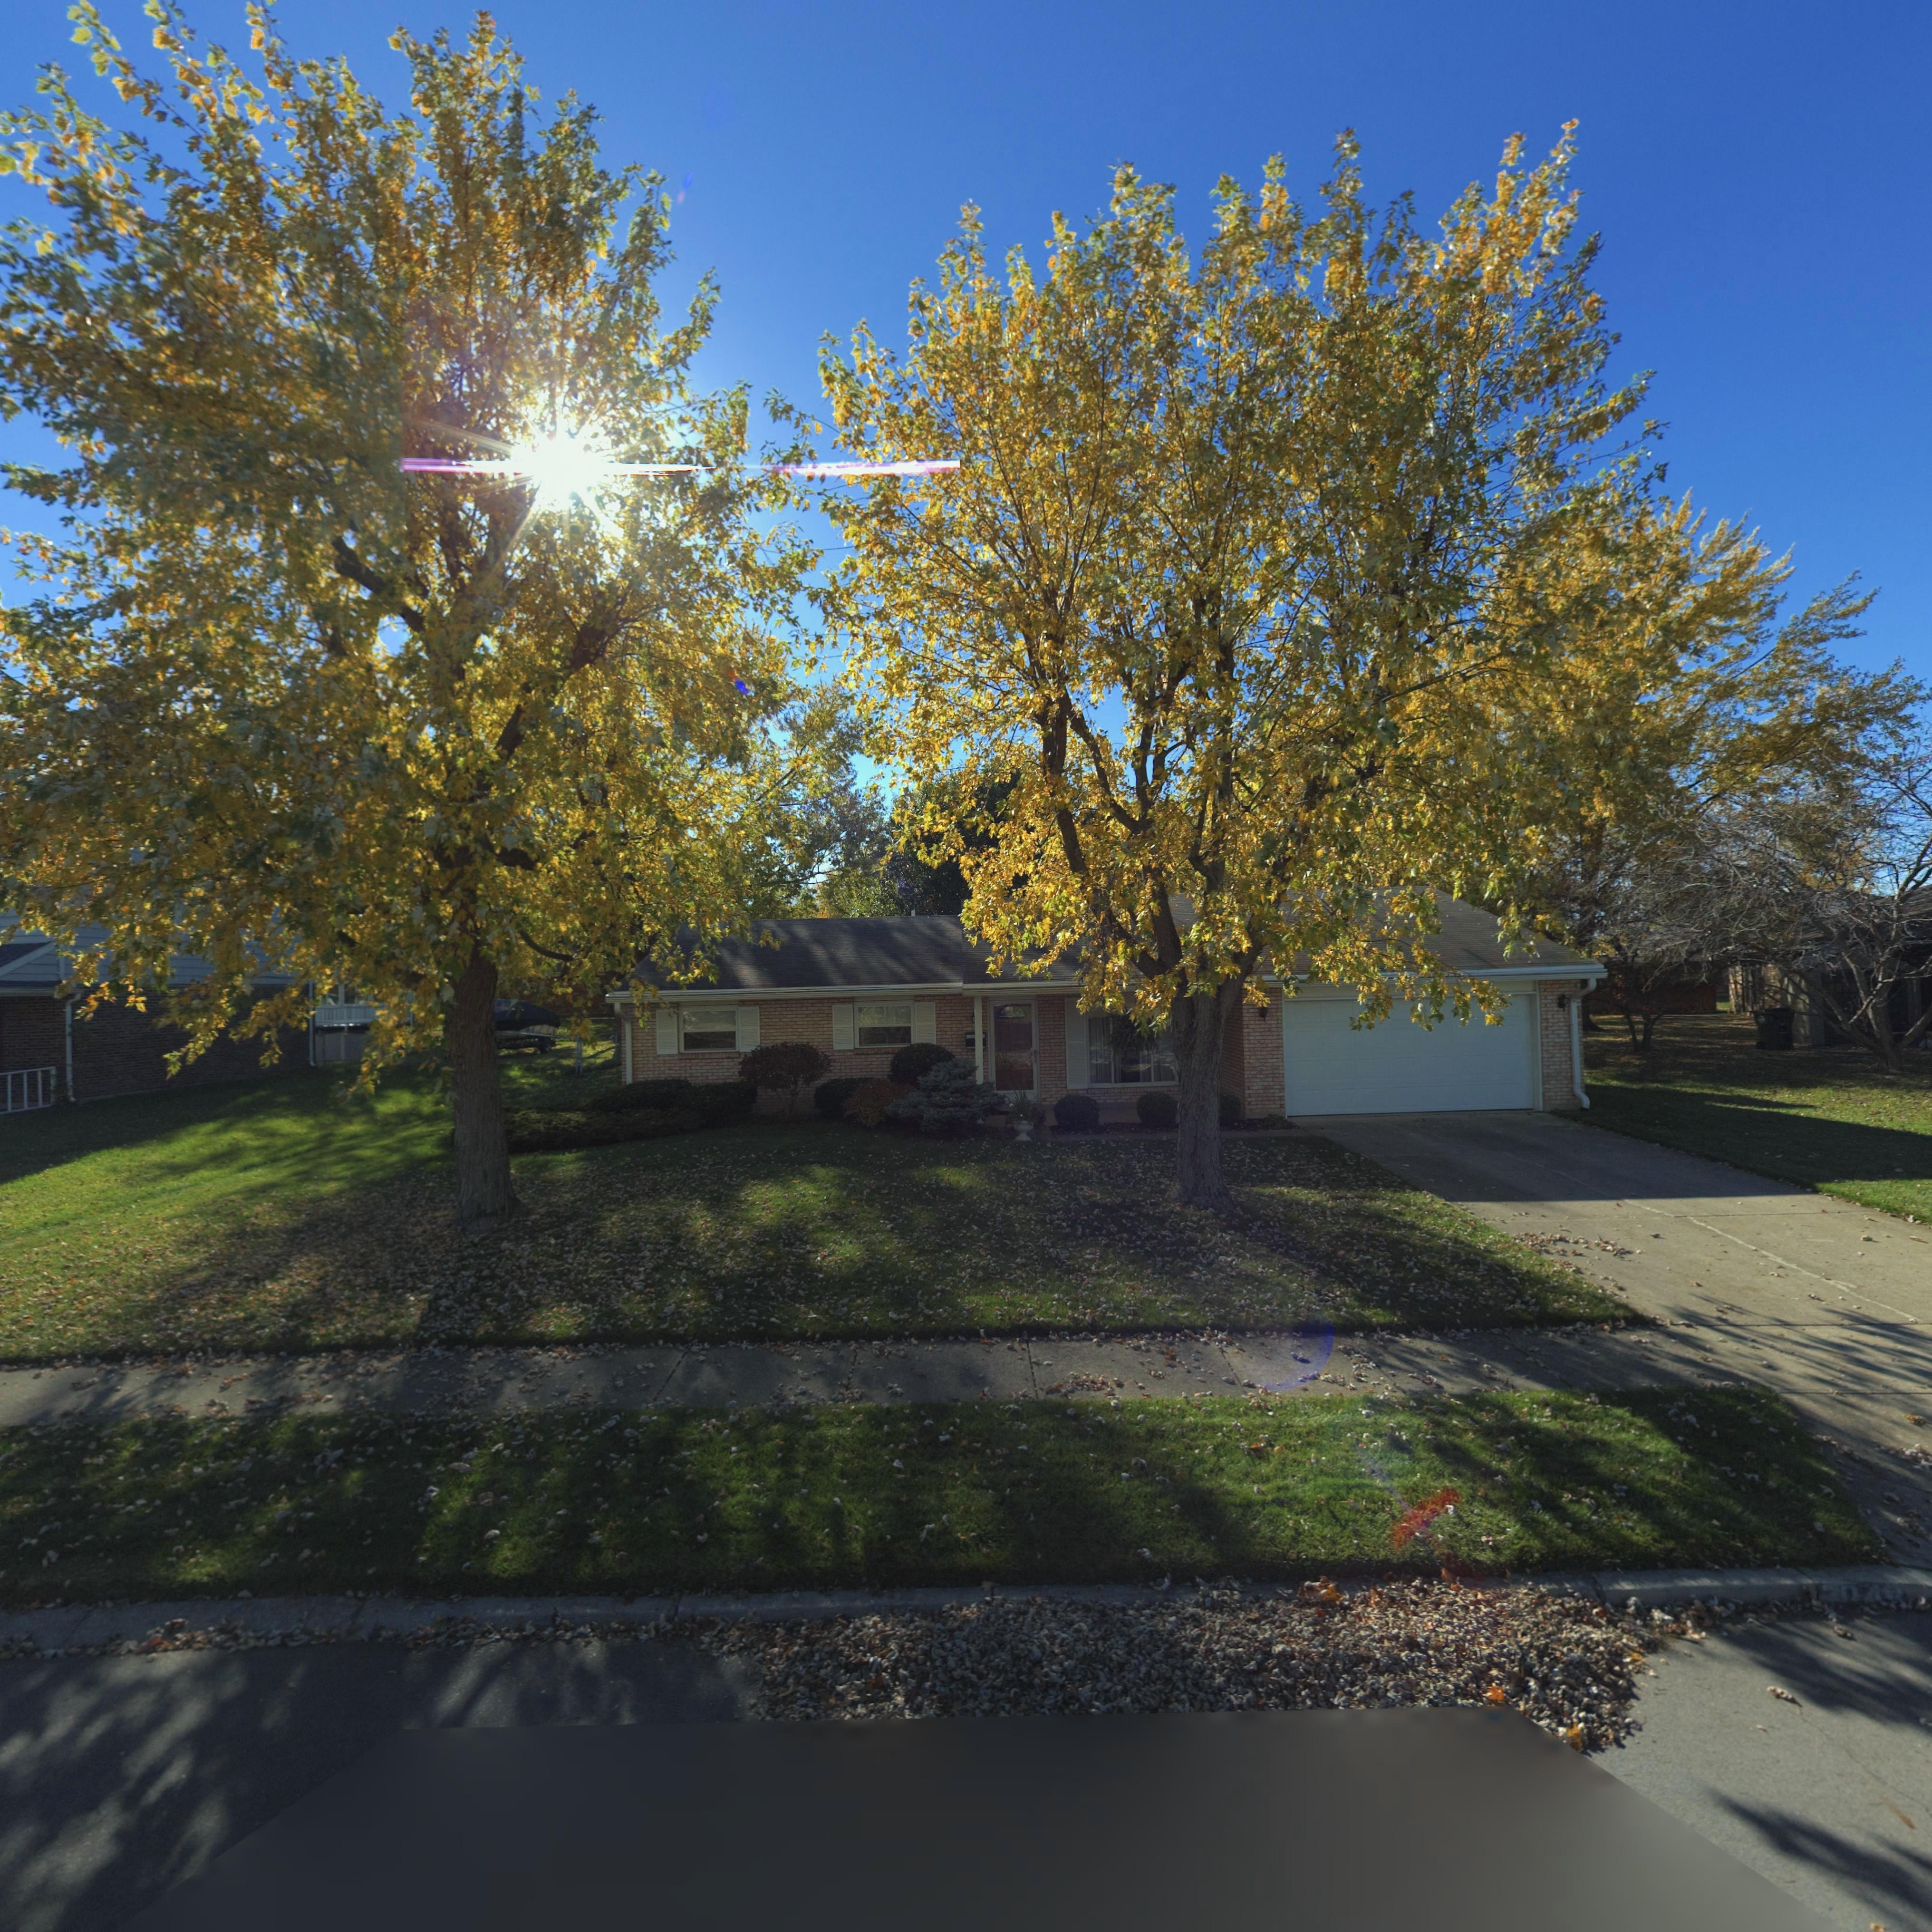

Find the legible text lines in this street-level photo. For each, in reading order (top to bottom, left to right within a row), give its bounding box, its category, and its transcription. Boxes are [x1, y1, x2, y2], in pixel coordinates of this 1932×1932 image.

[1821, 1583, 1884, 1605] StreetNumber: 704